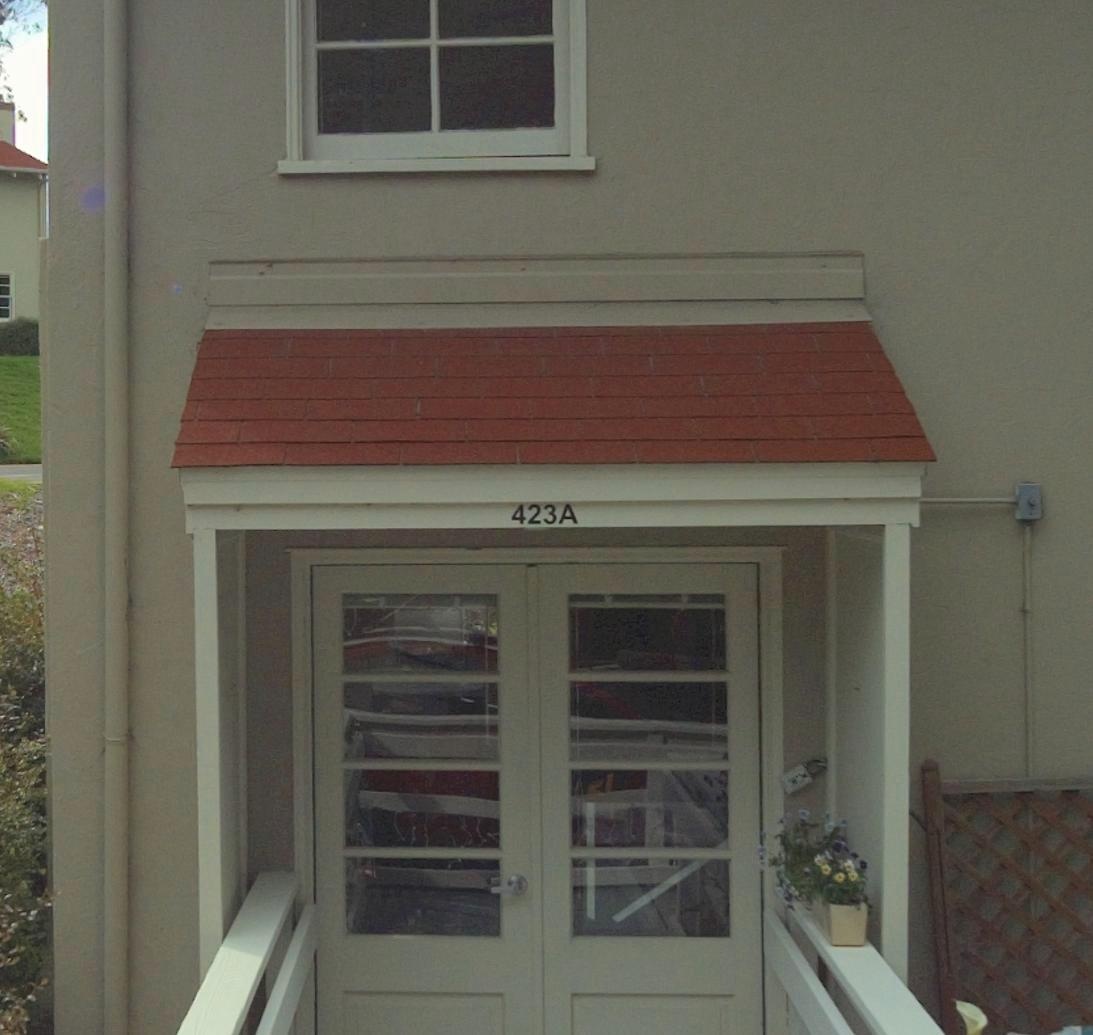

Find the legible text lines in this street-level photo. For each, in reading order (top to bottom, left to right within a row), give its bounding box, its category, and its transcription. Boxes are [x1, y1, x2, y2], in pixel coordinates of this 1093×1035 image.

[510, 503, 580, 527] StreetNumber: 423A